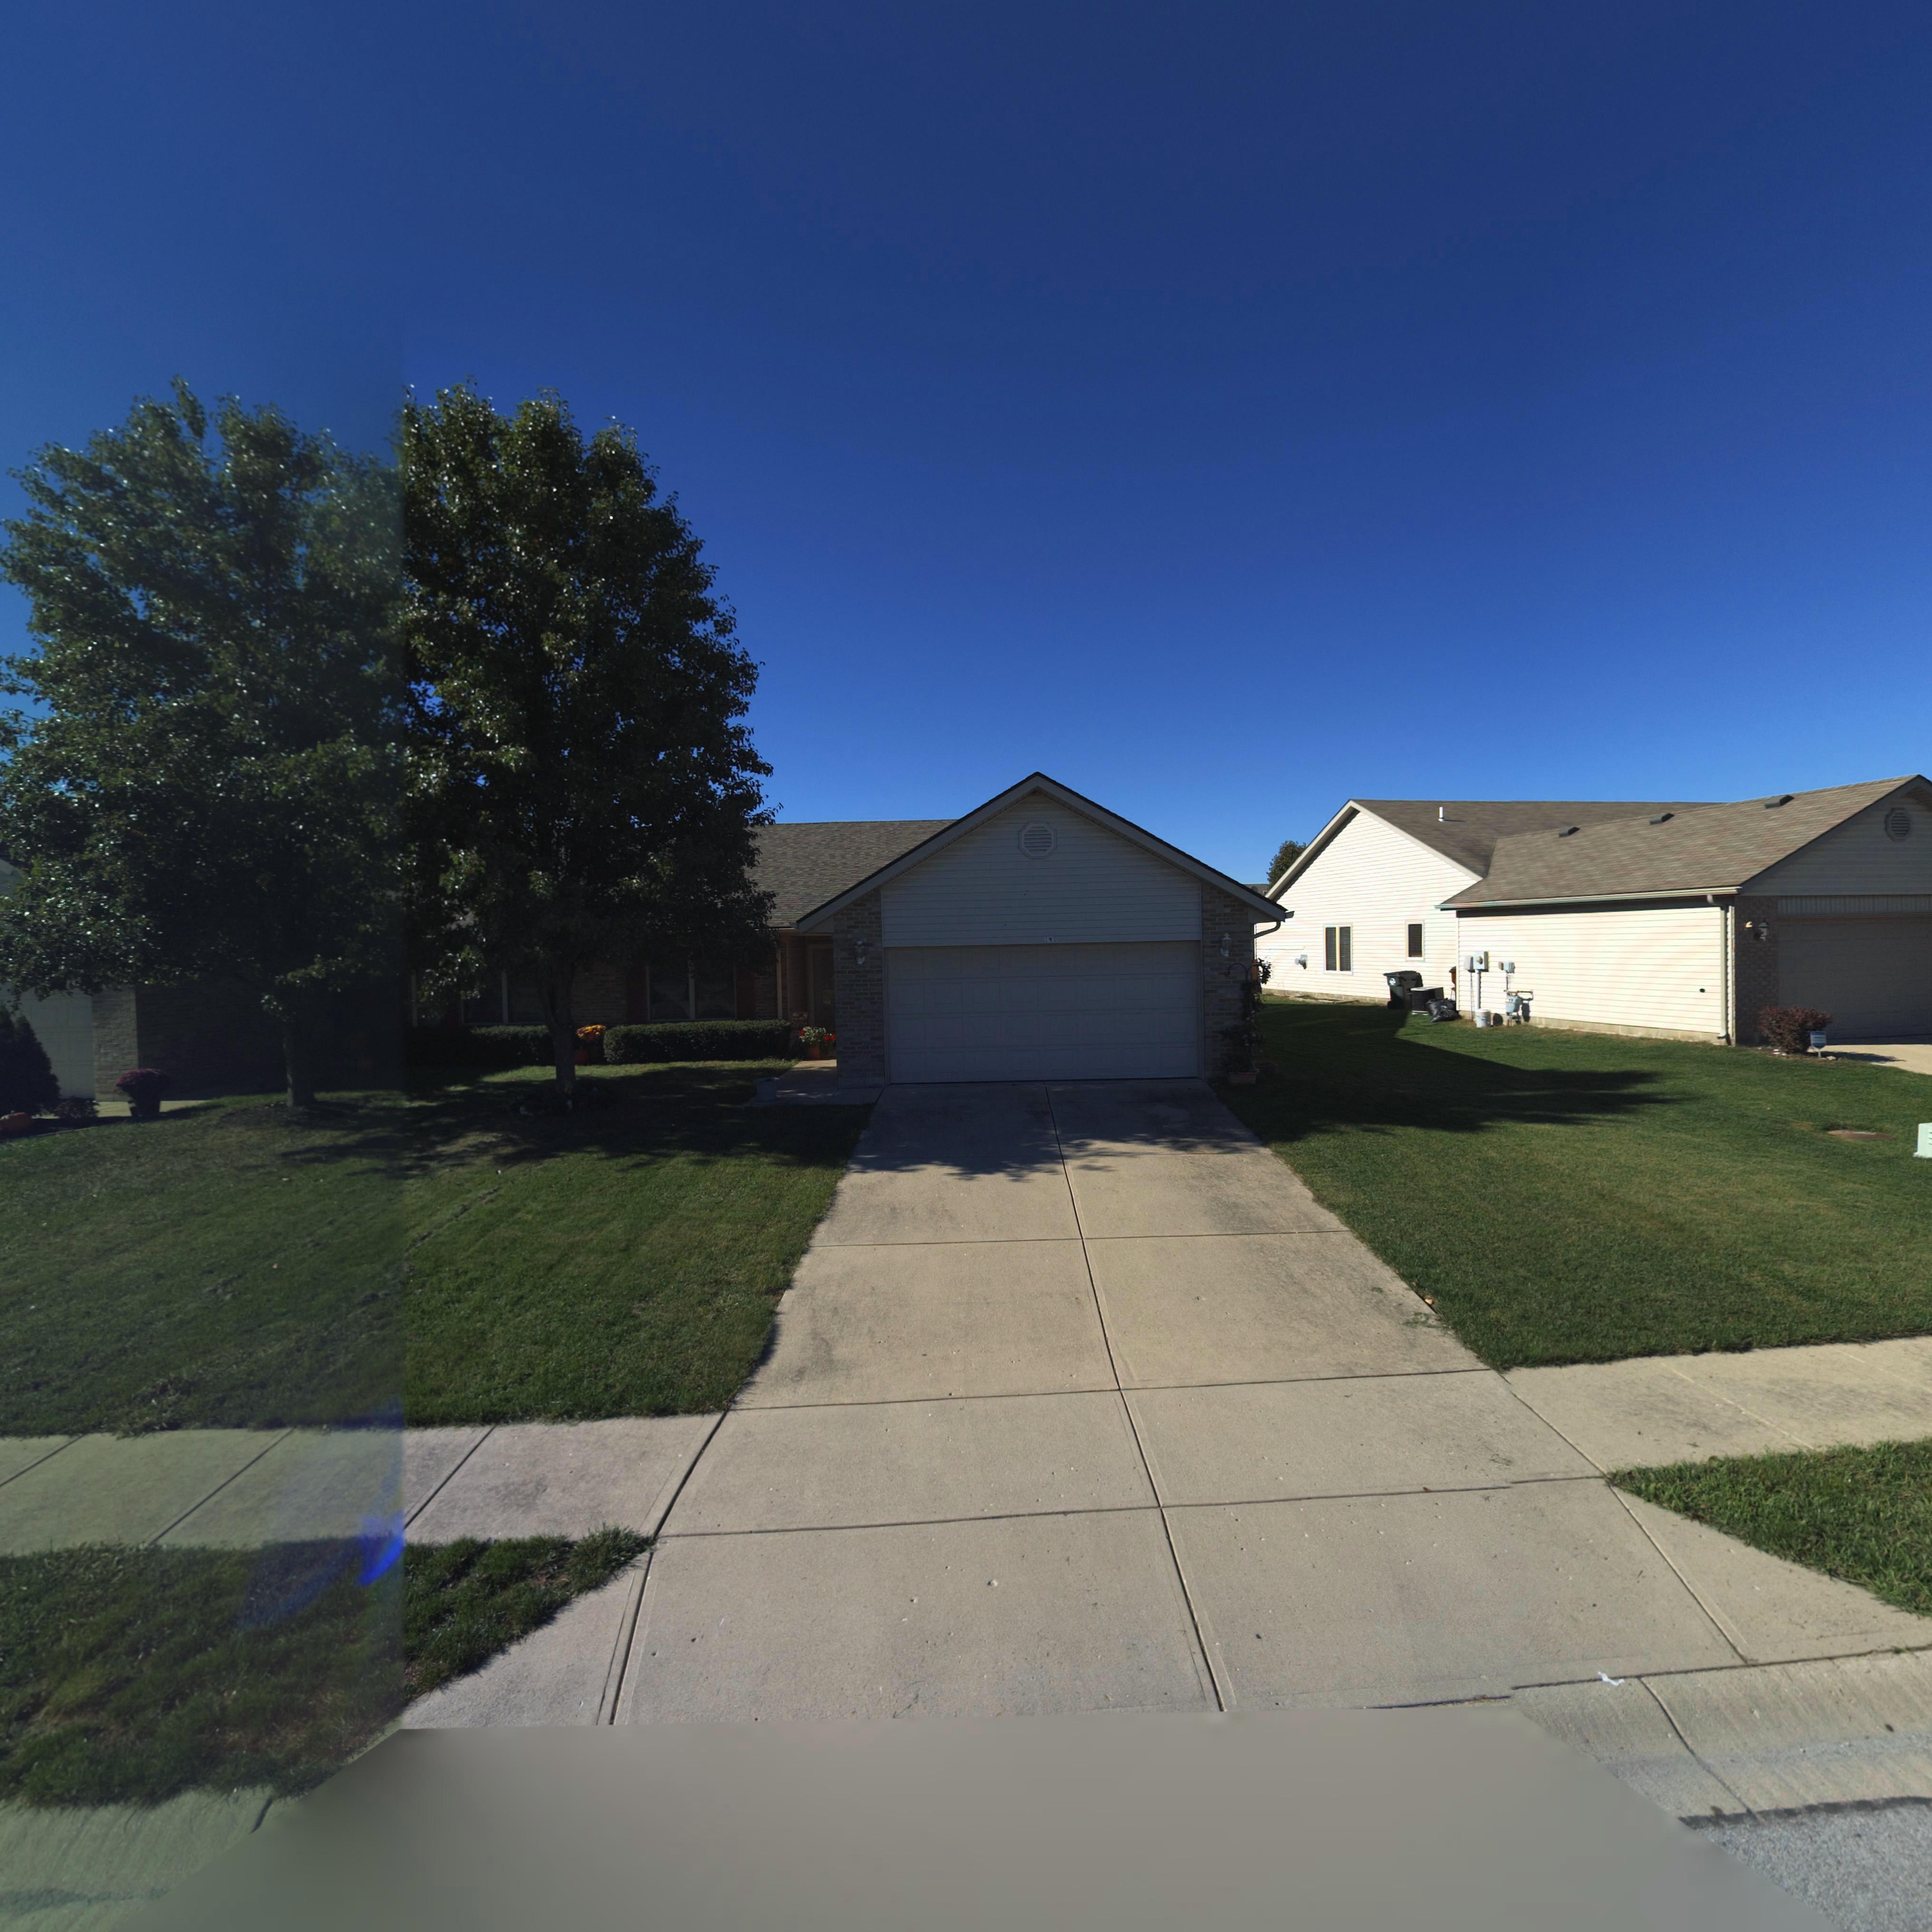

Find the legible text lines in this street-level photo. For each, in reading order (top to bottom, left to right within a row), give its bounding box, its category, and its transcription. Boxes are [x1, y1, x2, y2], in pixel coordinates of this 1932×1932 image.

[1044, 936, 1057, 943] StreetNumber: 149